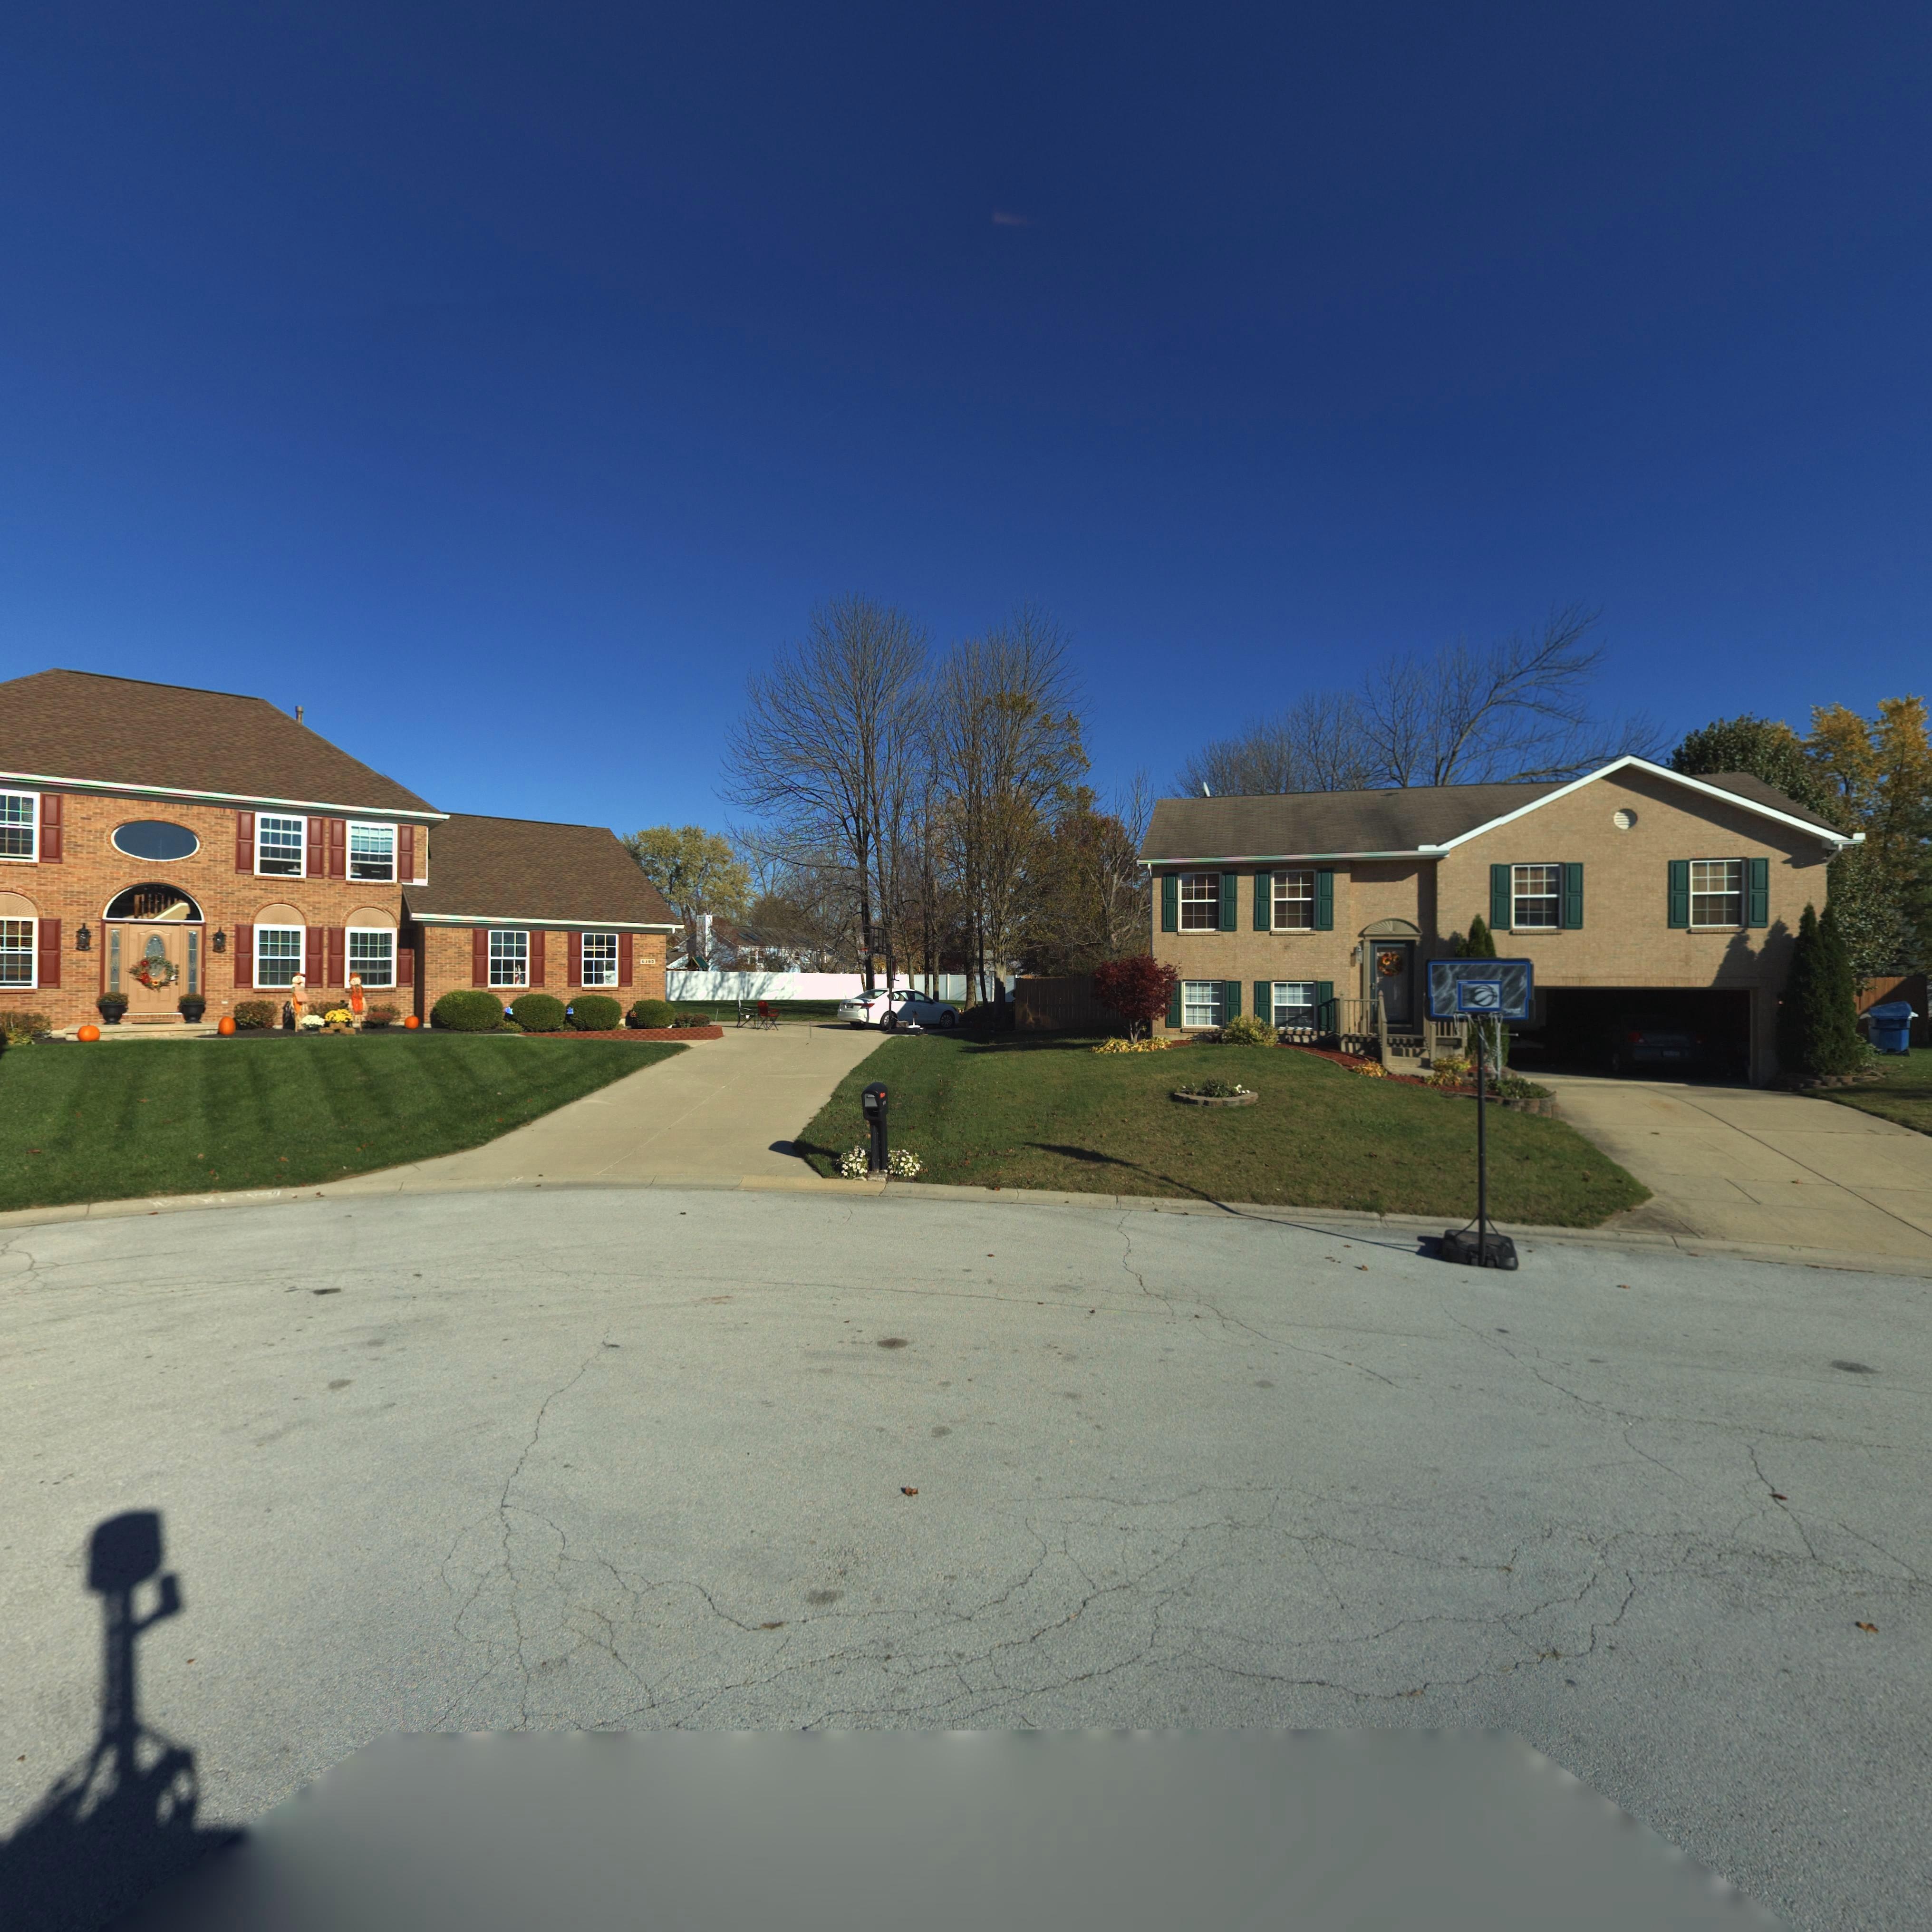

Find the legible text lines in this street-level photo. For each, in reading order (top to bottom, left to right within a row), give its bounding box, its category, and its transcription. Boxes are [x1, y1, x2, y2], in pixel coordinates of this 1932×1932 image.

[641, 959, 655, 964] StreetNumber: 6390